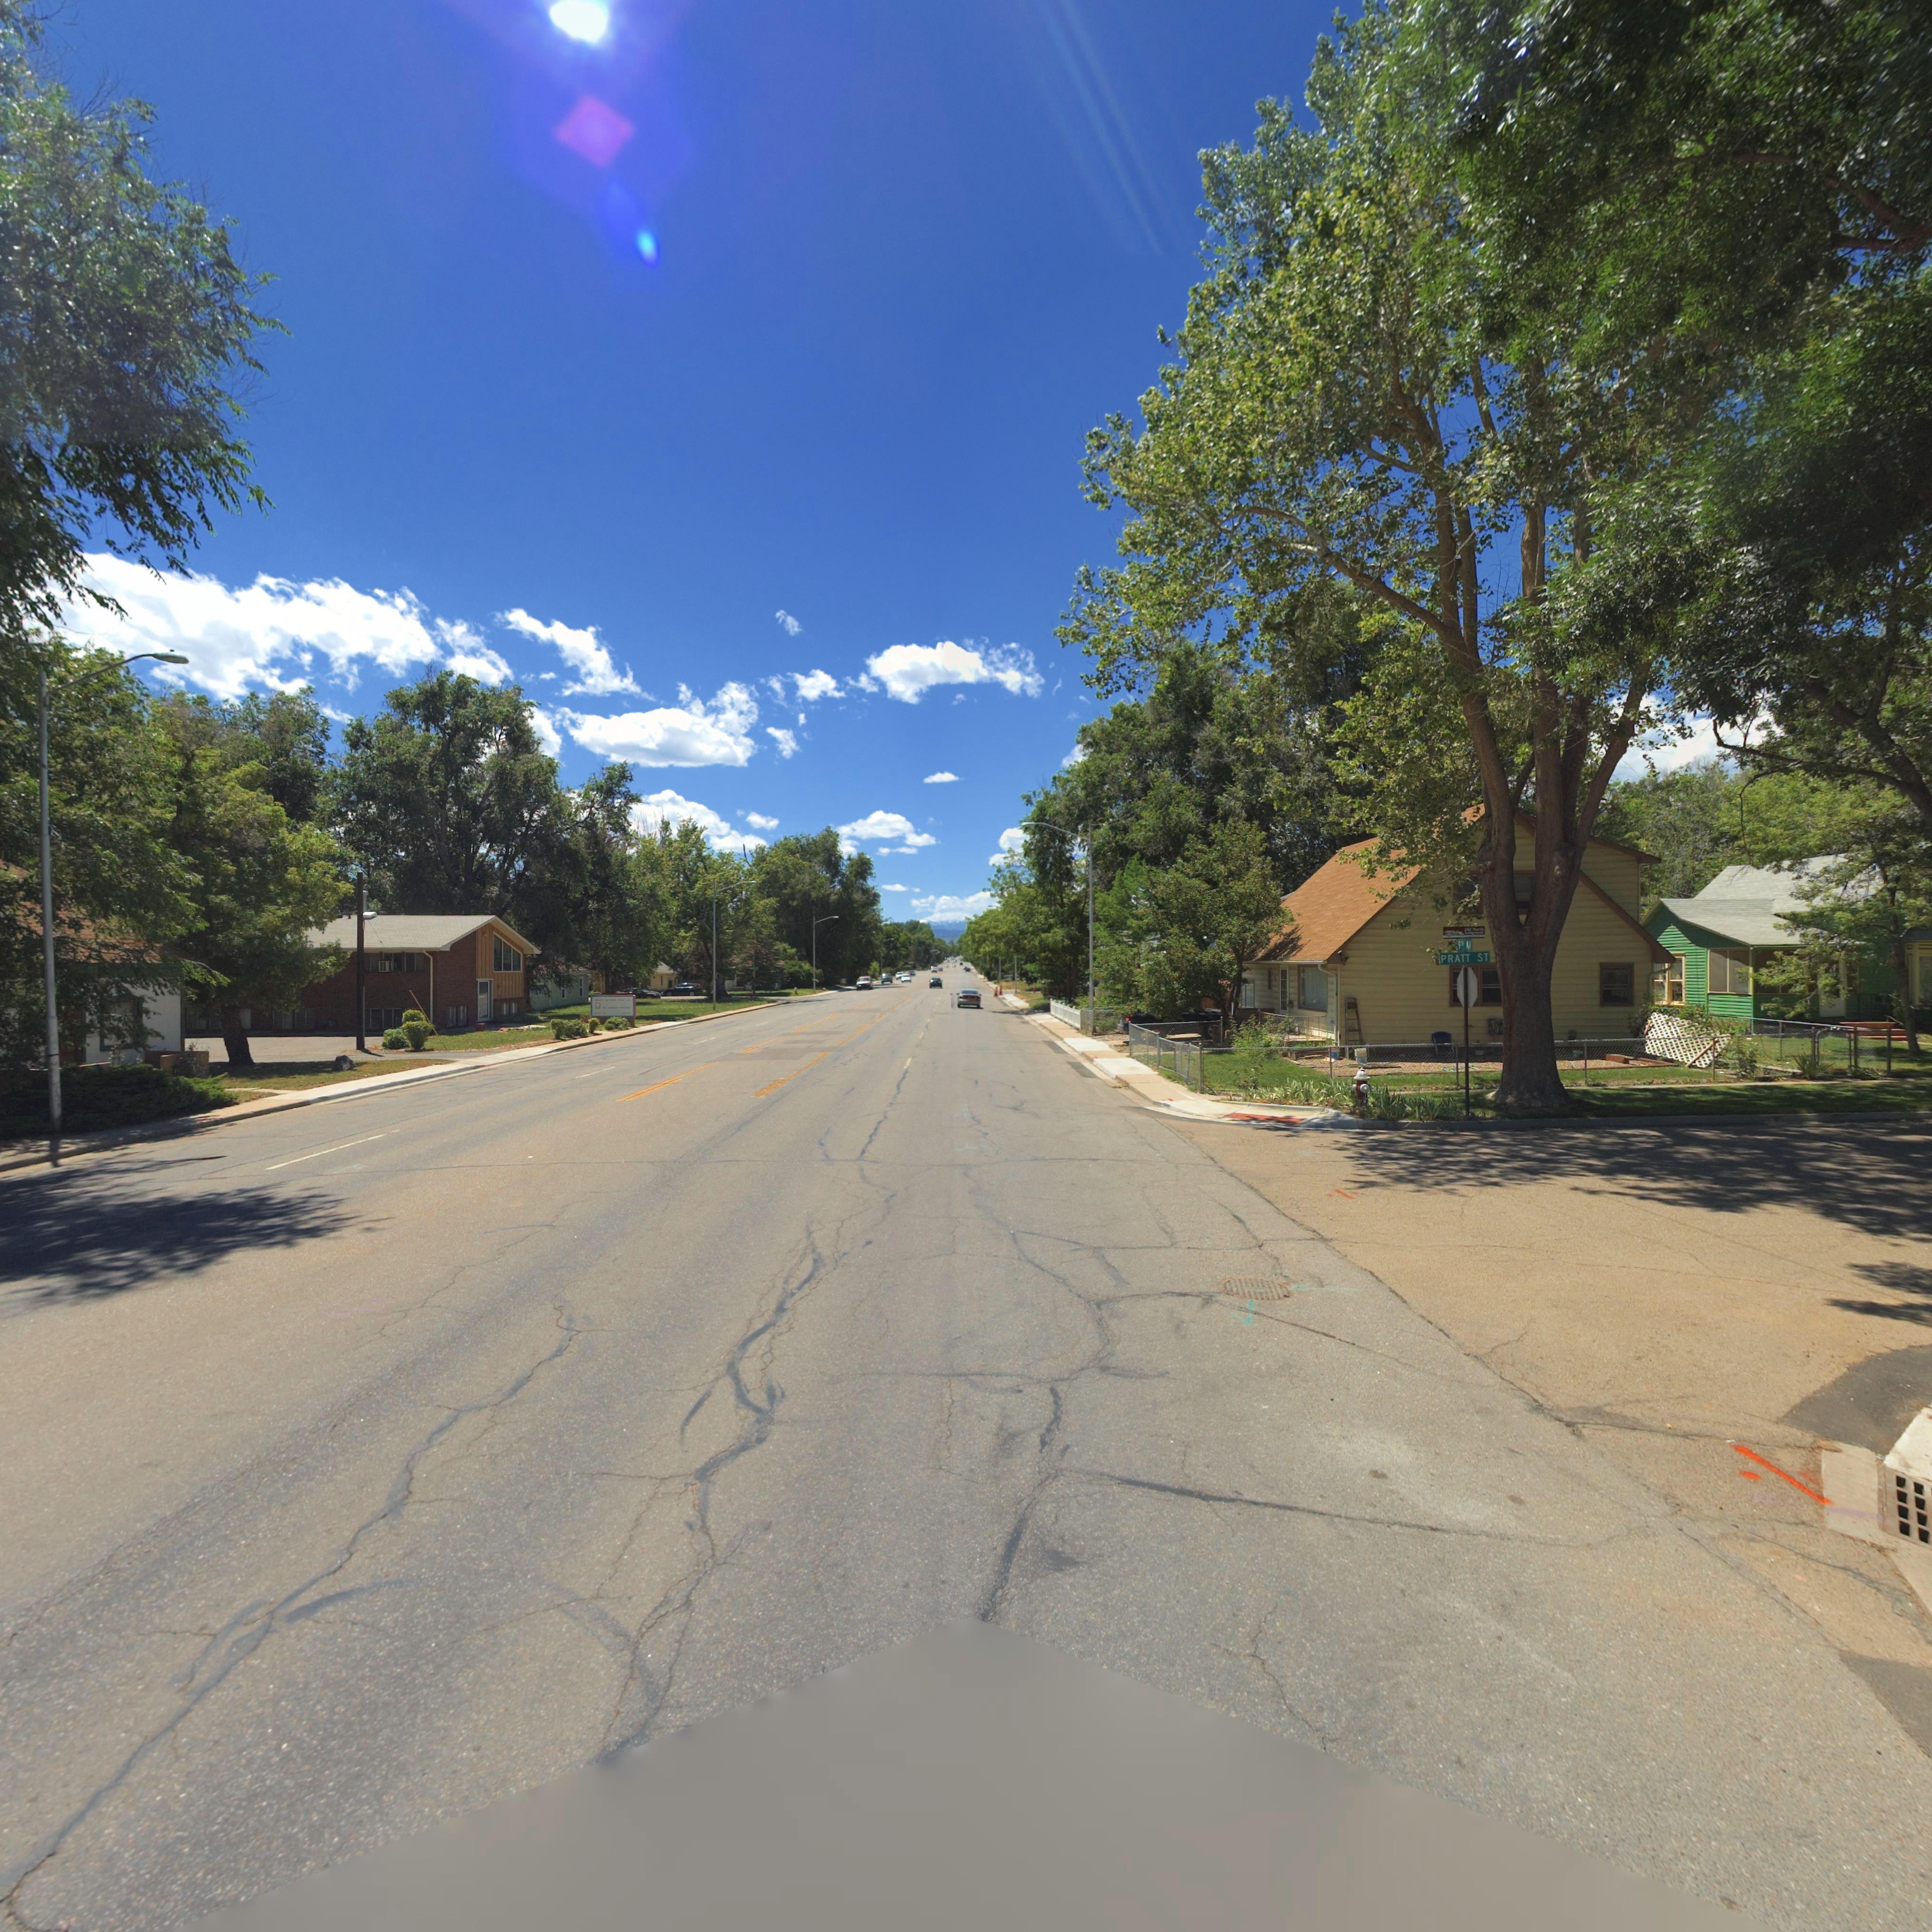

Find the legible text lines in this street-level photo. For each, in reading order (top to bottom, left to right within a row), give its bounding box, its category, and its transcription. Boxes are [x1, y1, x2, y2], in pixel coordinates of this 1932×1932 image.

[1458, 940, 1471, 949] StreetName: 9** AV
[1440, 953, 1488, 963] StreetName: PRATT ST